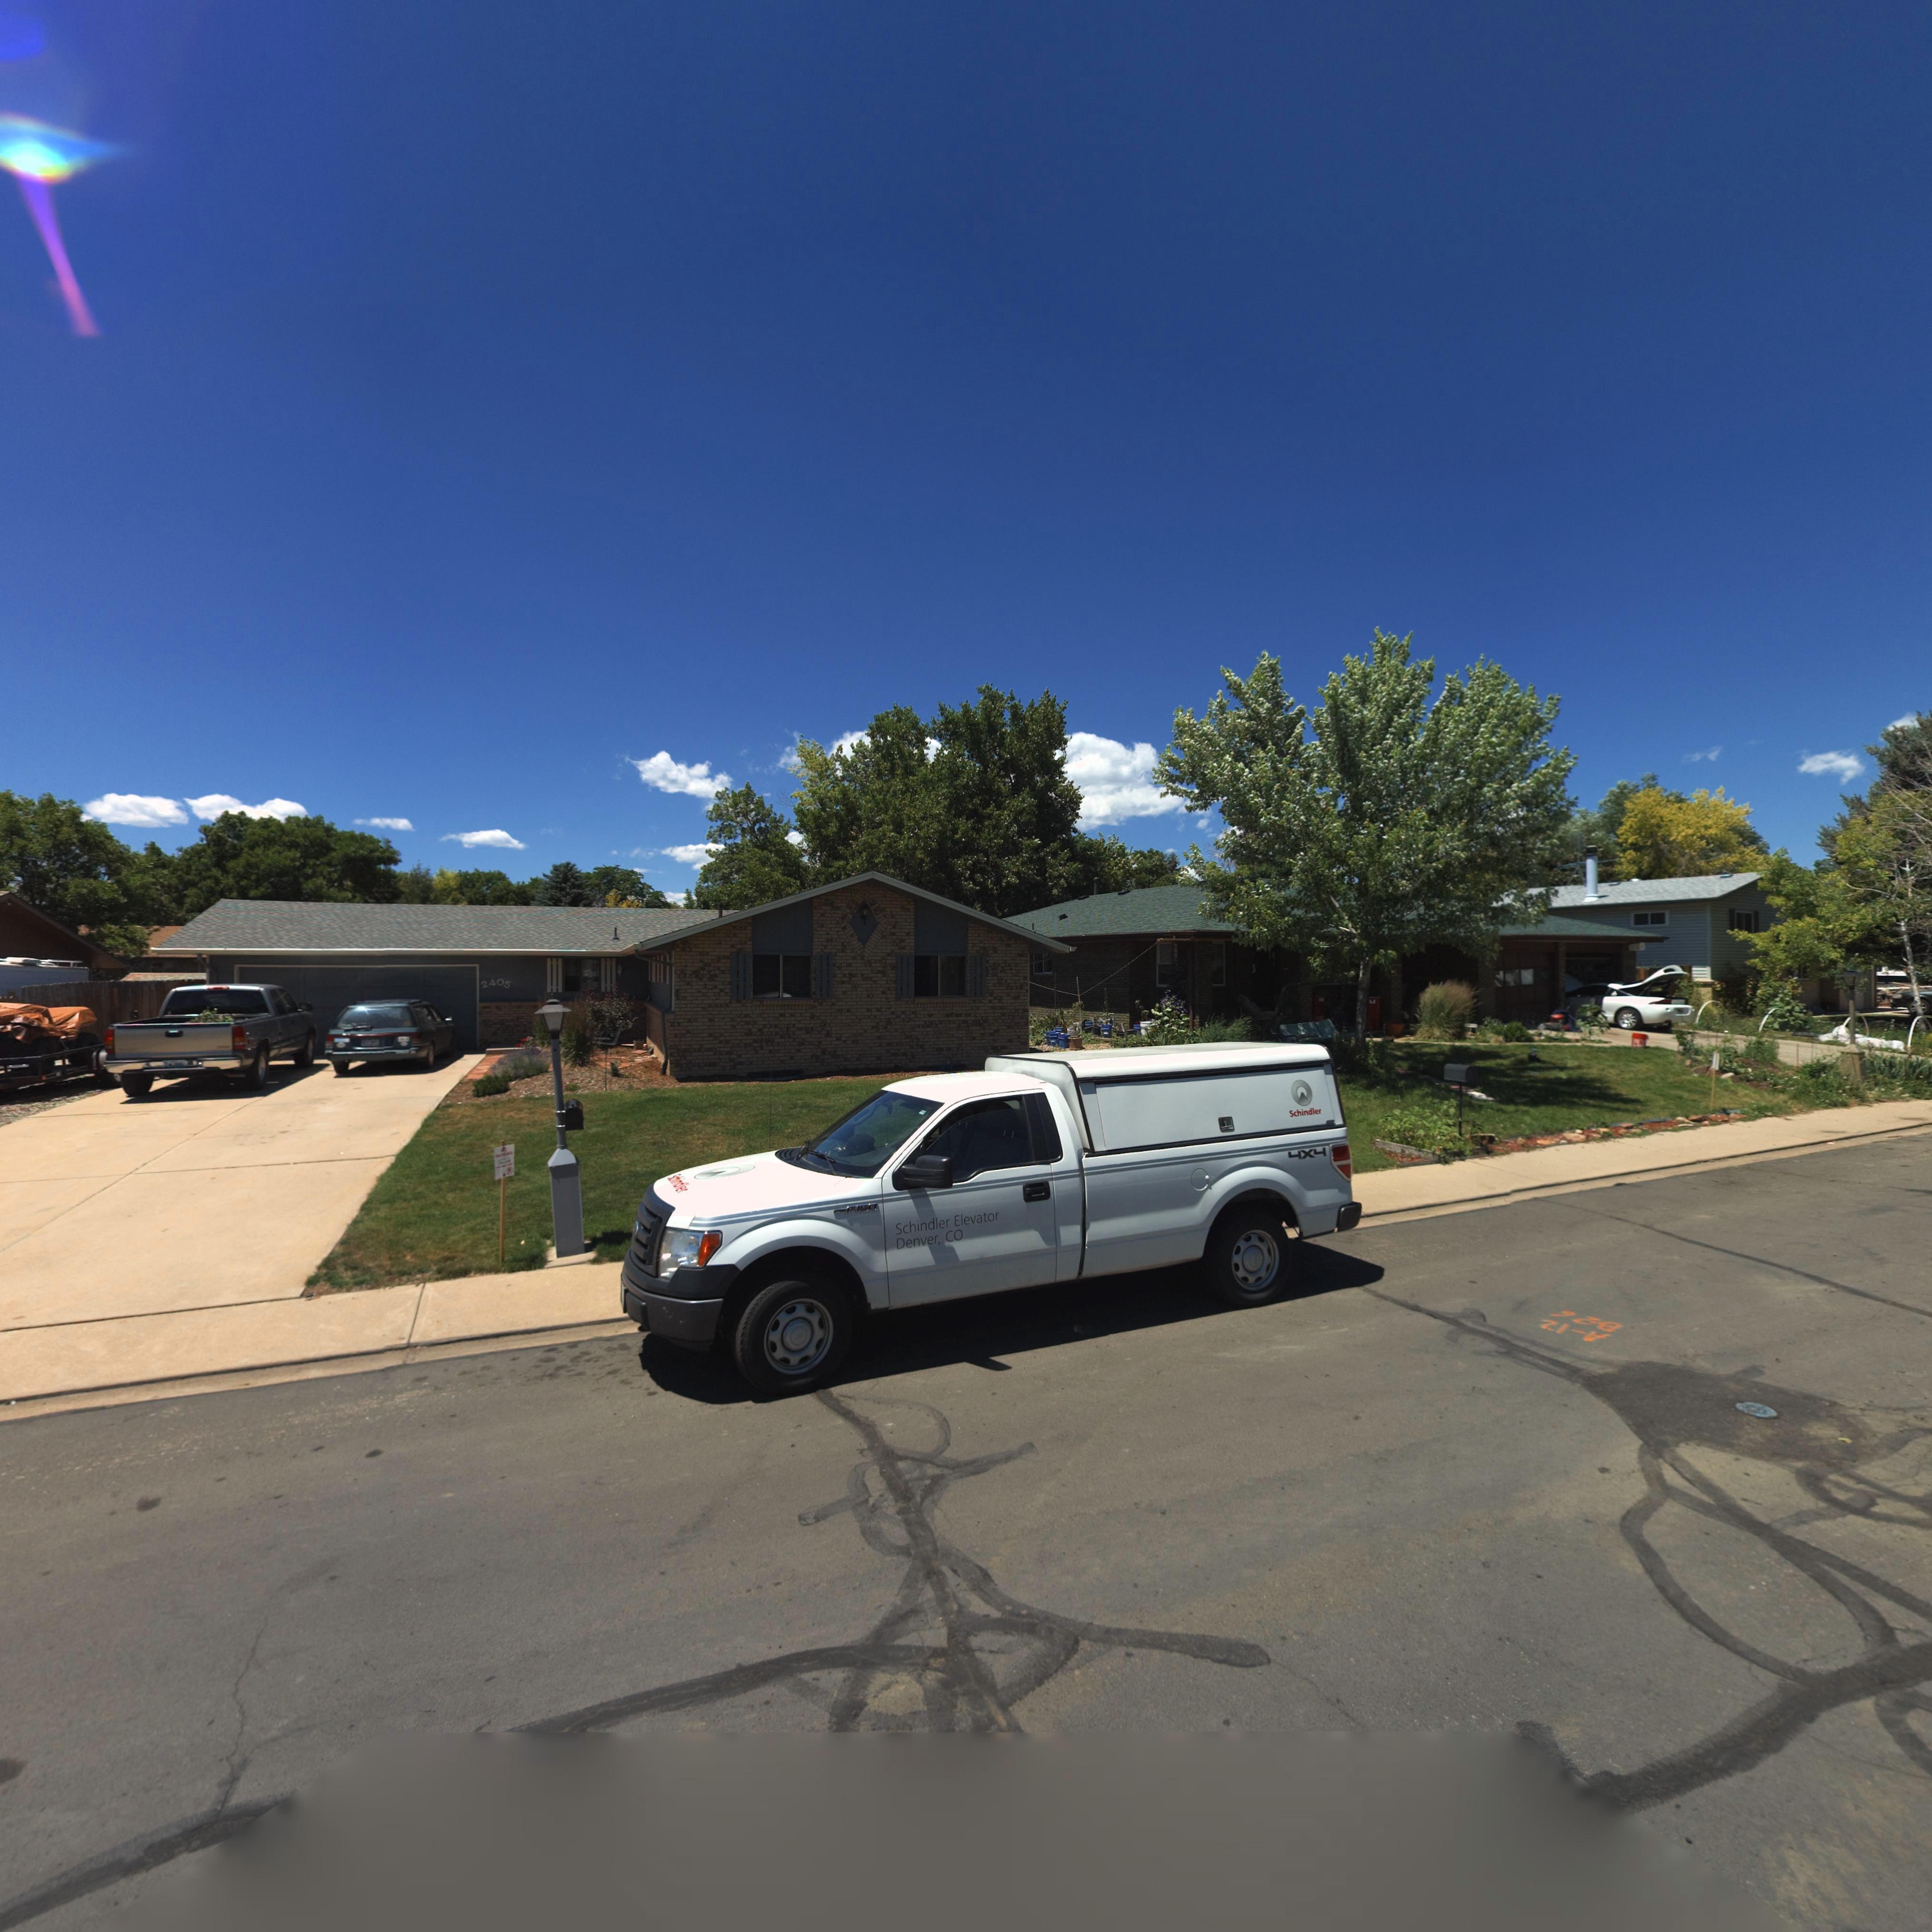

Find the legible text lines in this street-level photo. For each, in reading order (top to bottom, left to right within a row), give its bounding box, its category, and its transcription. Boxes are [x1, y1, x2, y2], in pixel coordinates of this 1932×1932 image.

[480, 978, 512, 988] StreetNumber: 2405